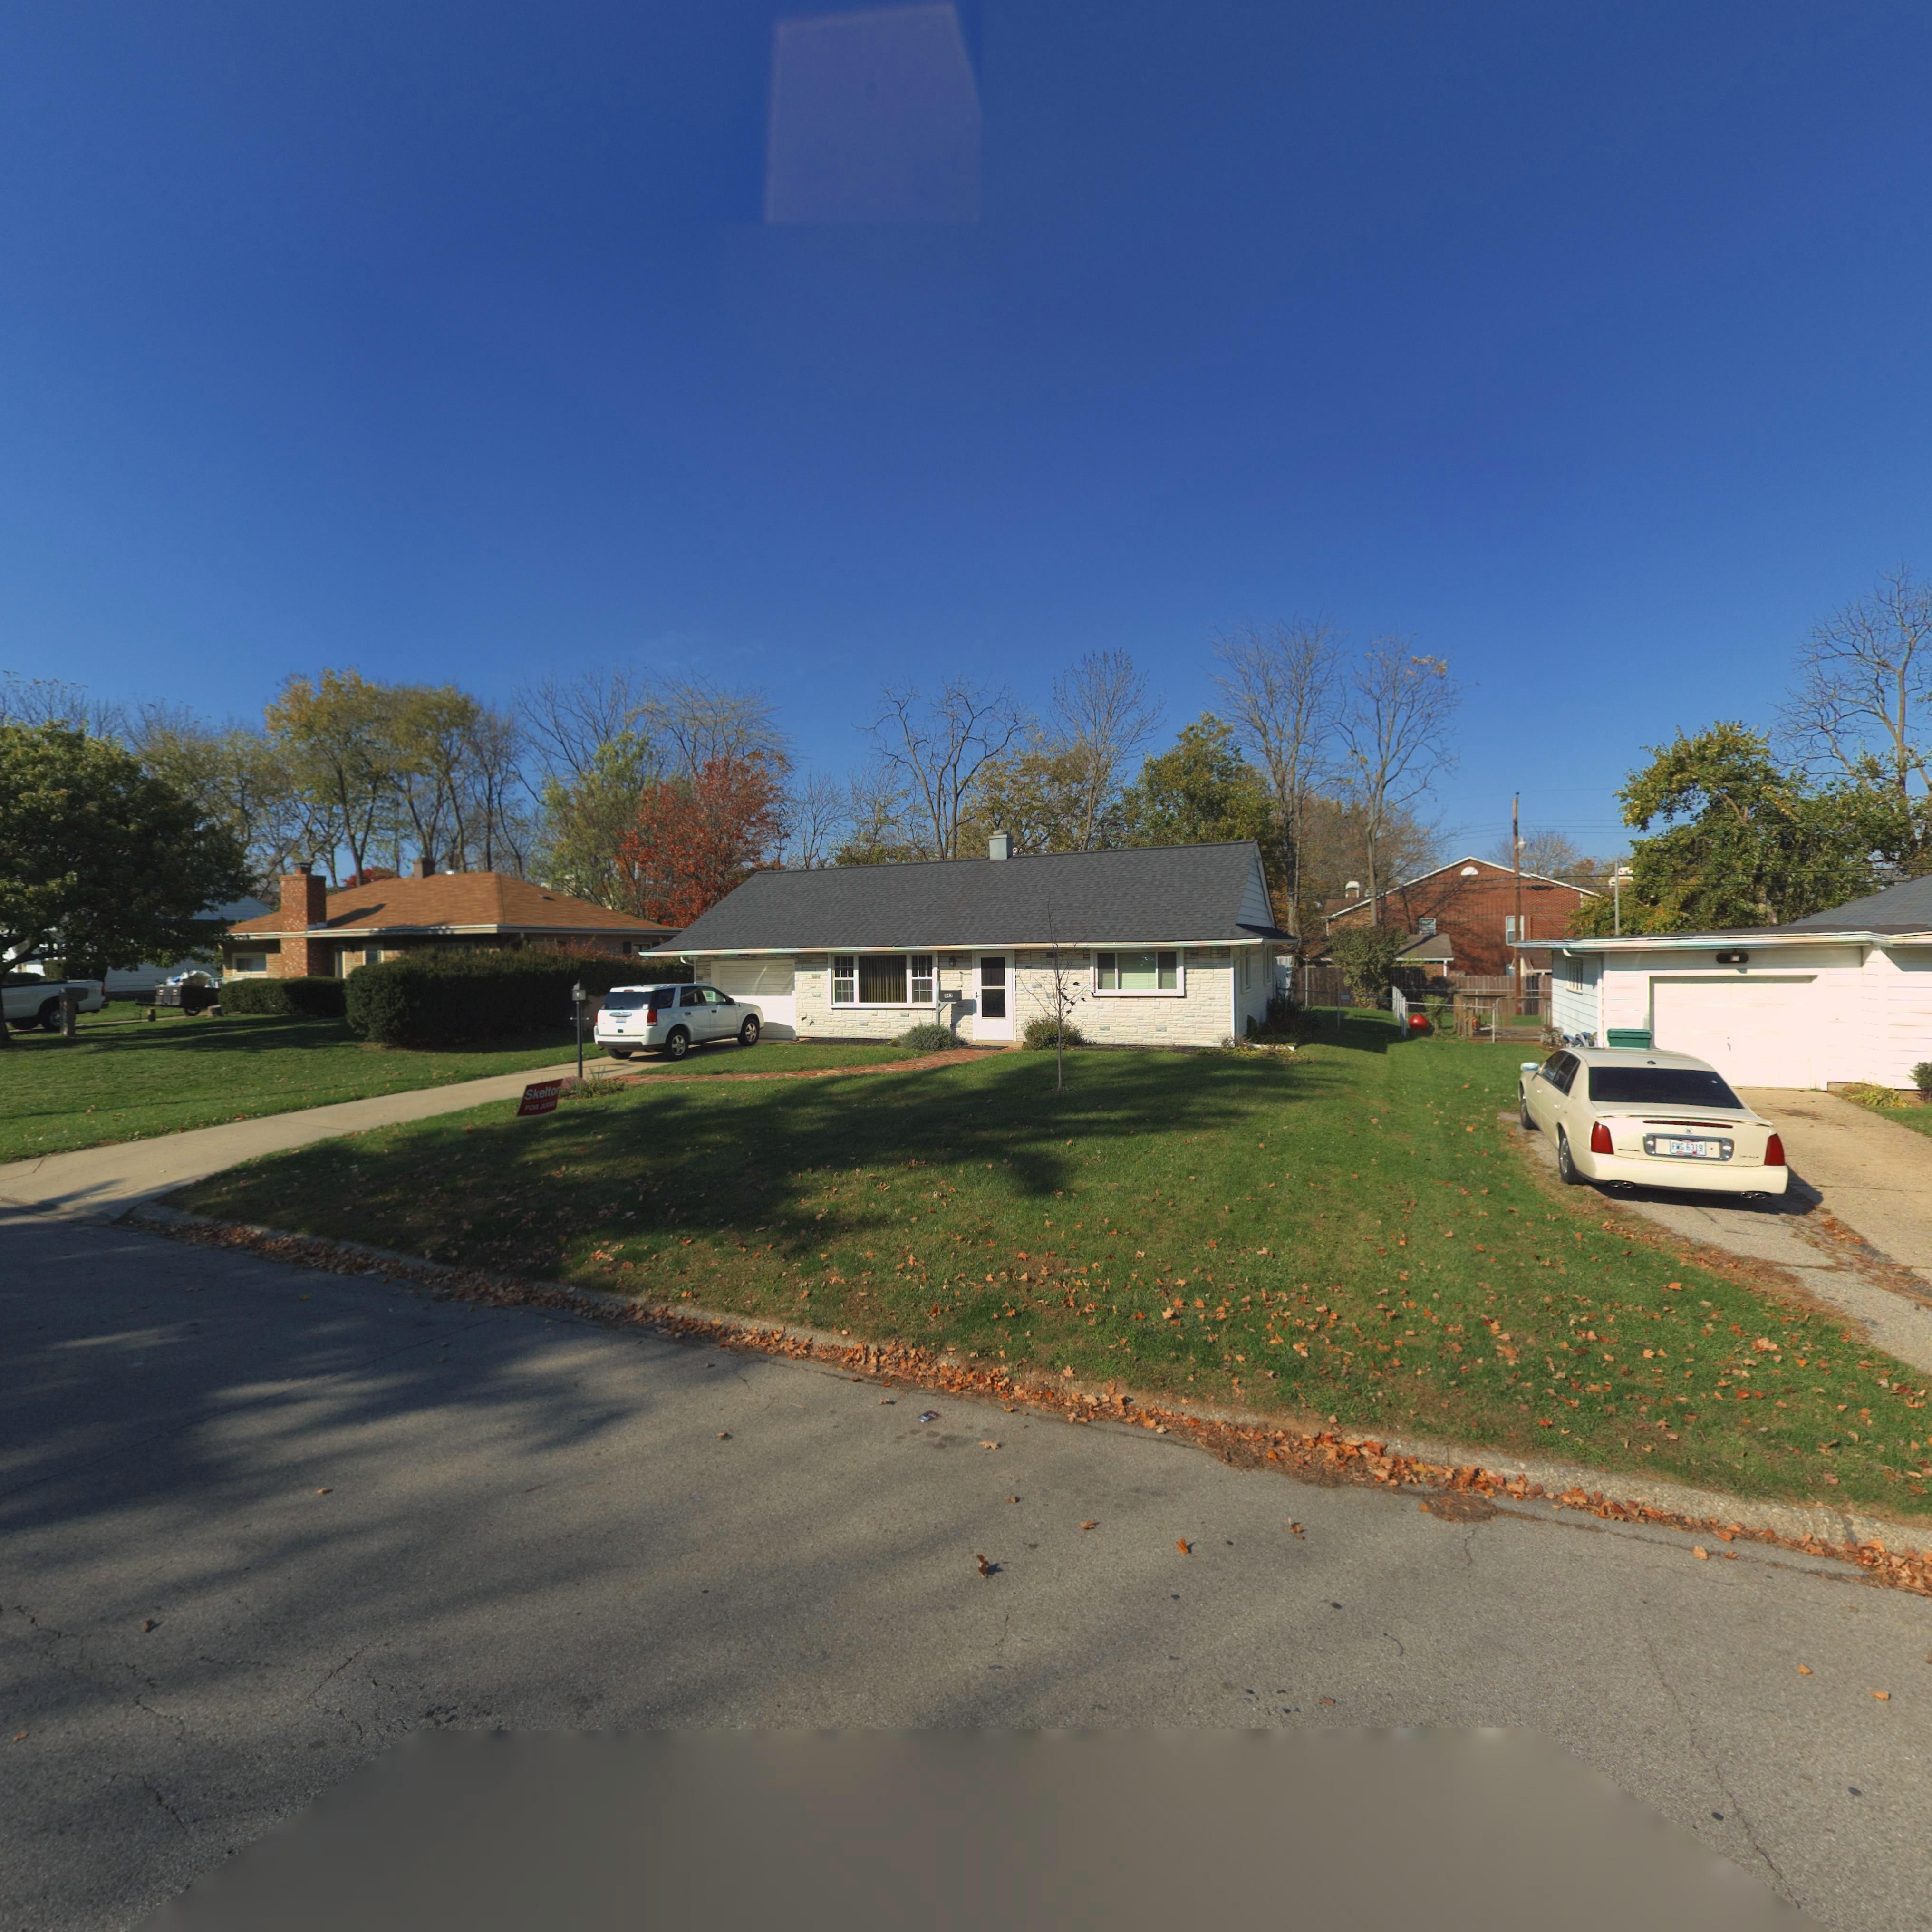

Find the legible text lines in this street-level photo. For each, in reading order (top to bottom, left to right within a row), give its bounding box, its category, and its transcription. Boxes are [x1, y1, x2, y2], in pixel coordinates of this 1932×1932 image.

[945, 994, 952, 997] StreetNumber: *43
[524, 1086, 557, 1101] None: Skelto
[524, 1100, 557, 1111] None: FOR JUDGE
[1671, 1141, 1703, 1152] None: FWG*6319